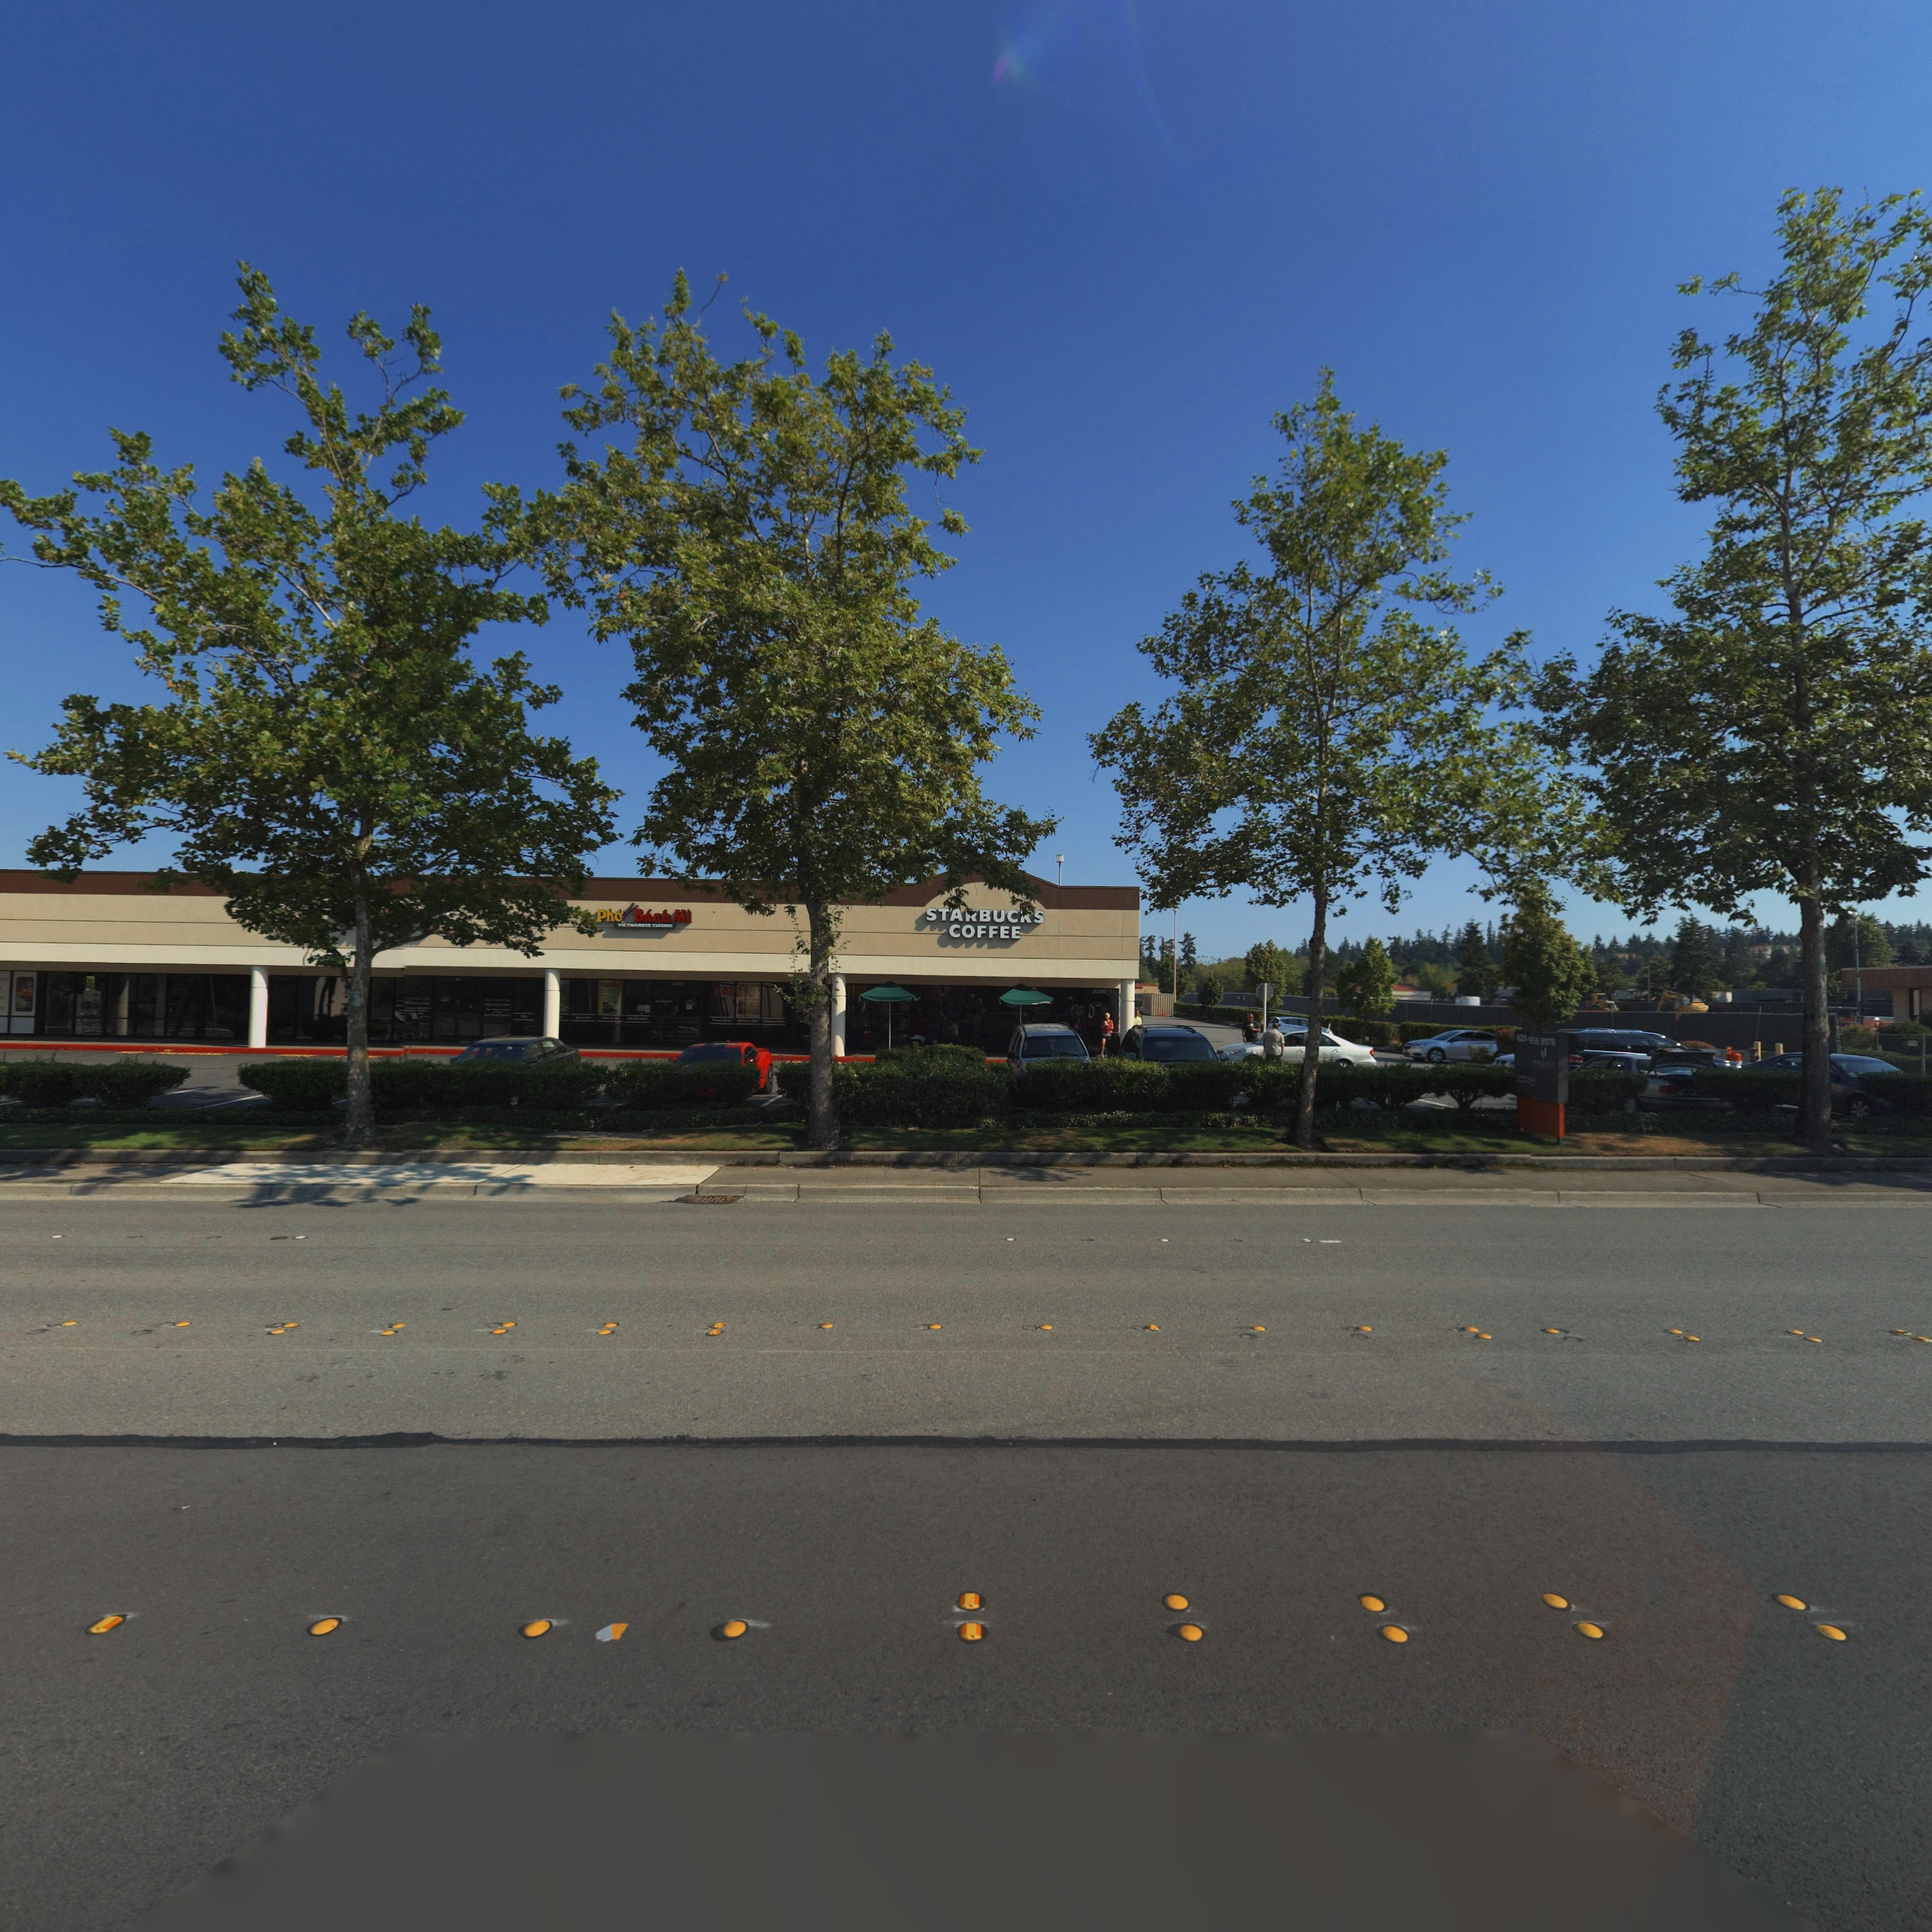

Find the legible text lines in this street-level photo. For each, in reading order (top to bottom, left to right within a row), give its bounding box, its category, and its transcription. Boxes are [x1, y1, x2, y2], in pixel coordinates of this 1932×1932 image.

[596, 908, 692, 924] BusinessName: Ph* B*nh Mi
[926, 907, 1044, 925] BusinessName: STA*BUC*S
[617, 922, 673, 928] BusinessName: VIETNAMESE CUISINE
[949, 924, 1020, 938] BusinessName: COFFEE